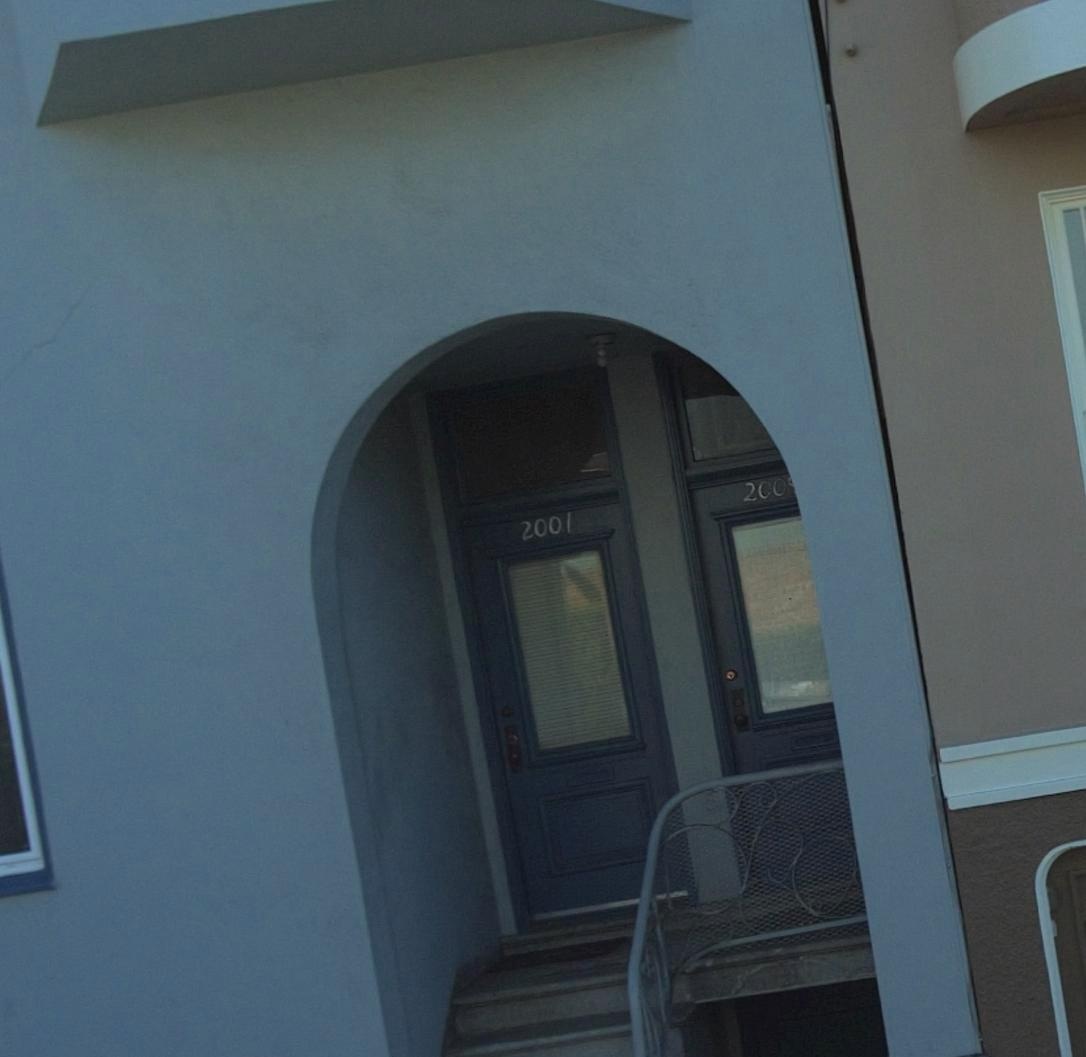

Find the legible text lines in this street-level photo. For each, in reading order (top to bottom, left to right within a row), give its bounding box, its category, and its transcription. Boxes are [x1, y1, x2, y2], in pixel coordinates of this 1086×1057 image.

[742, 472, 802, 506] StreetNumber: 200*
[519, 509, 574, 543] StreetNumber: 2001